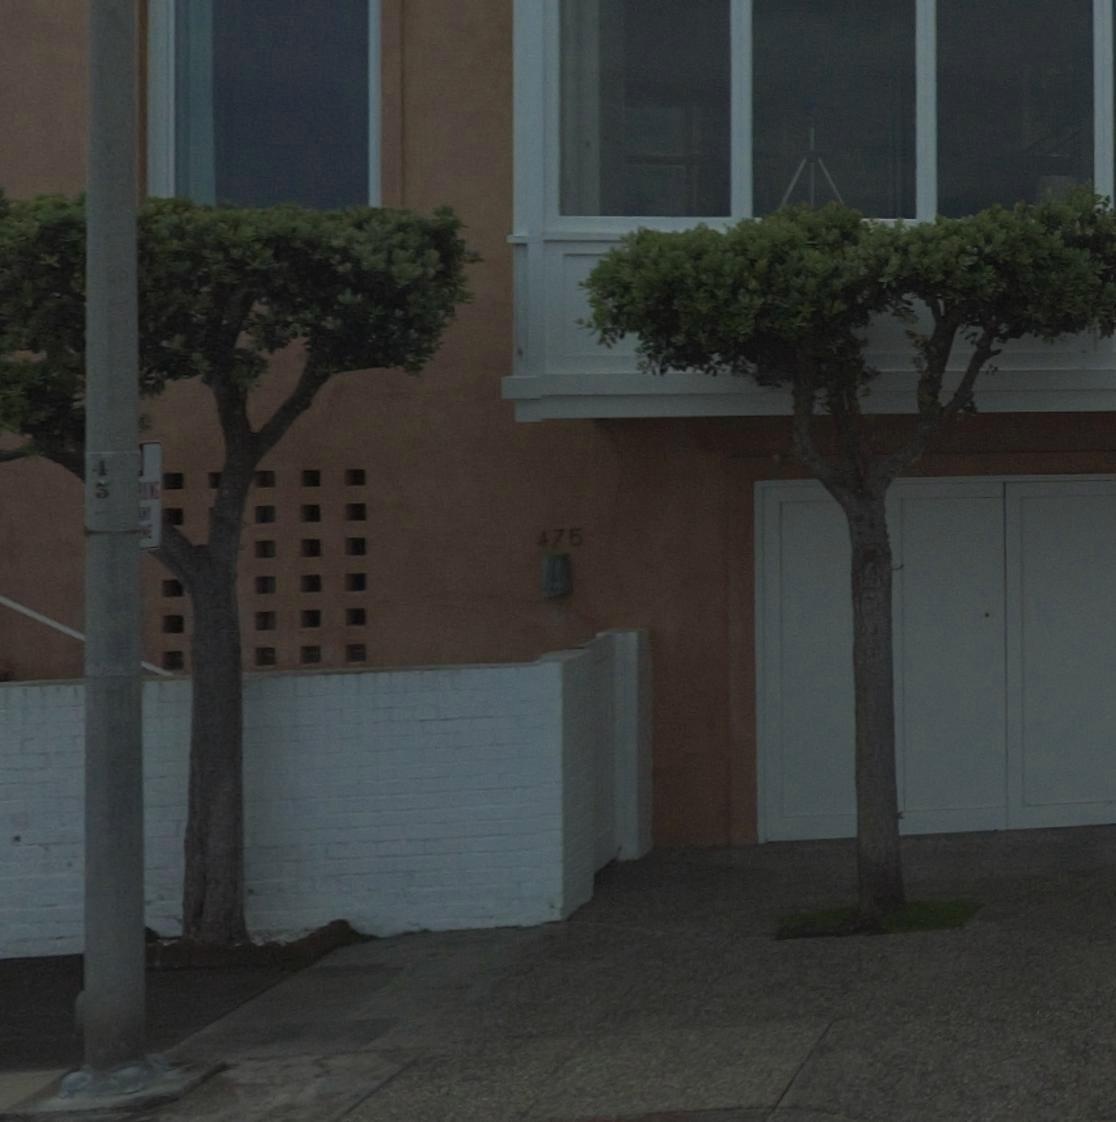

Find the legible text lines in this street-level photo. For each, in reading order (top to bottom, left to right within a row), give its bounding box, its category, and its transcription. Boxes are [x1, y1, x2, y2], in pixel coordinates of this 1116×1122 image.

[91, 458, 110, 499] None: 45
[536, 527, 584, 550] StreetNumber: 475